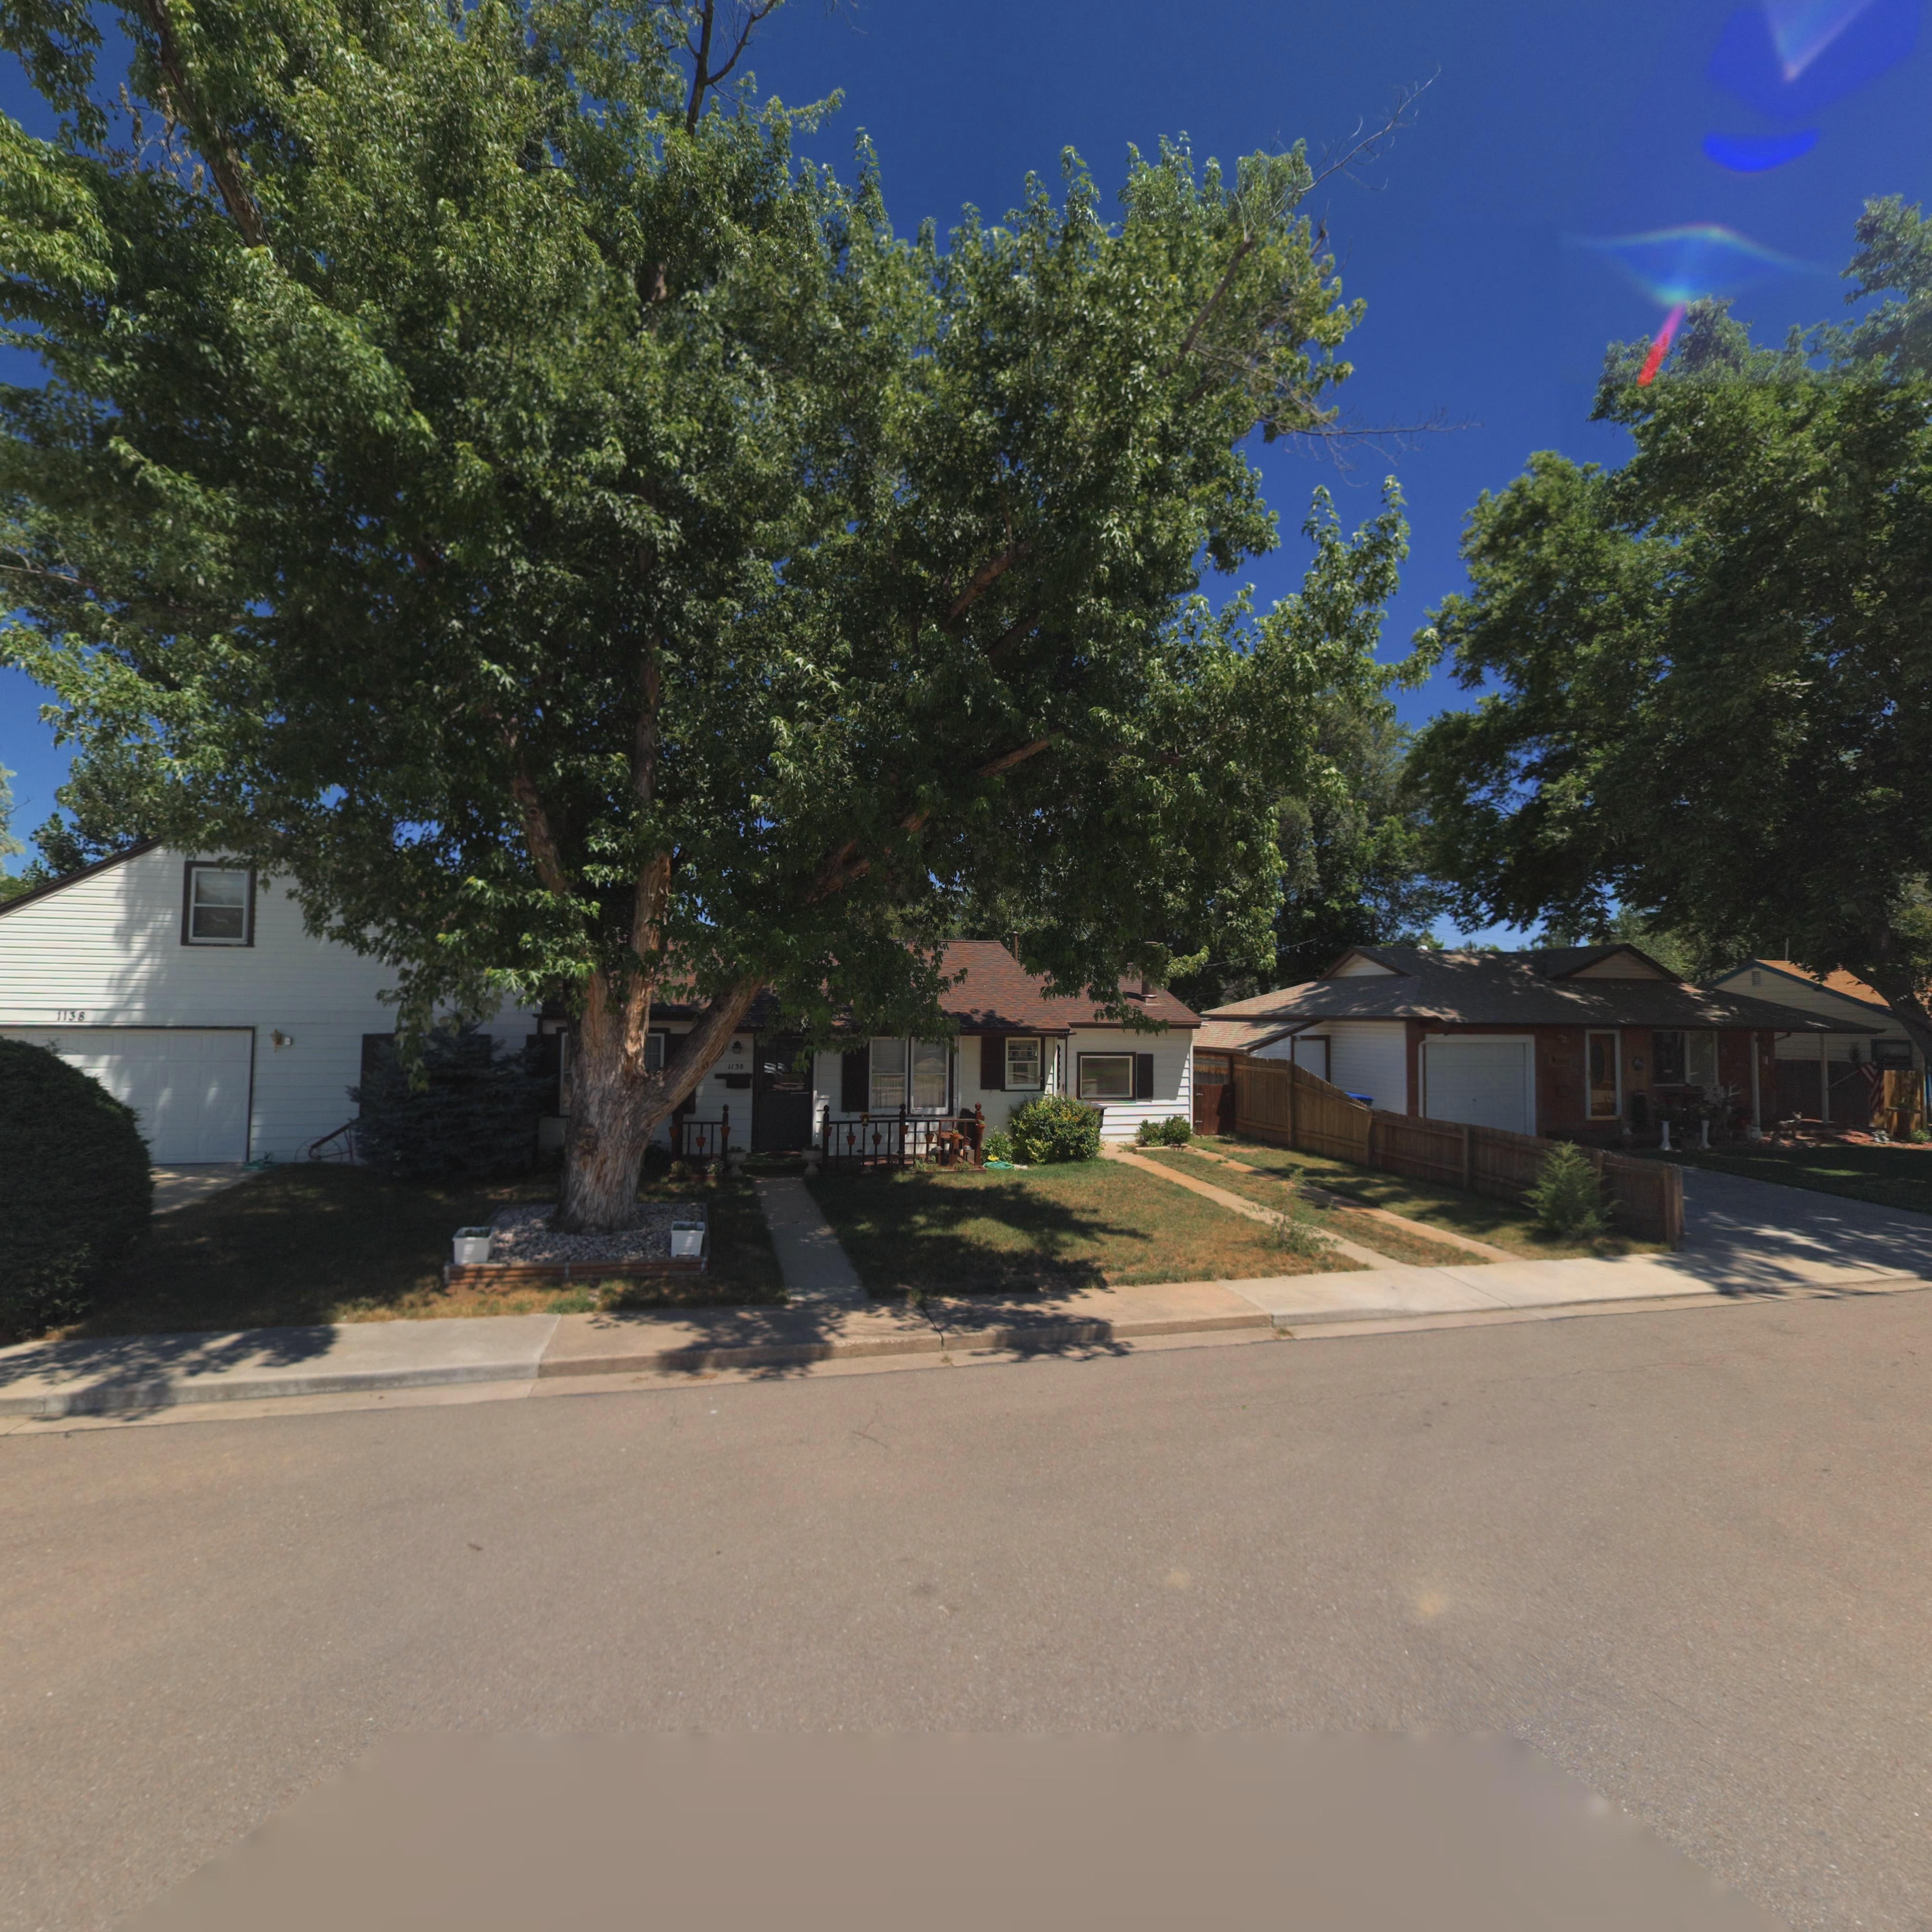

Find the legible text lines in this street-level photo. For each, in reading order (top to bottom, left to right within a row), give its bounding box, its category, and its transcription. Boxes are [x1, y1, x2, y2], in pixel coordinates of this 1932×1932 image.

[57, 1011, 86, 1022] StreetNumber: 1138
[727, 1063, 744, 1070] StreetNumber: 1138